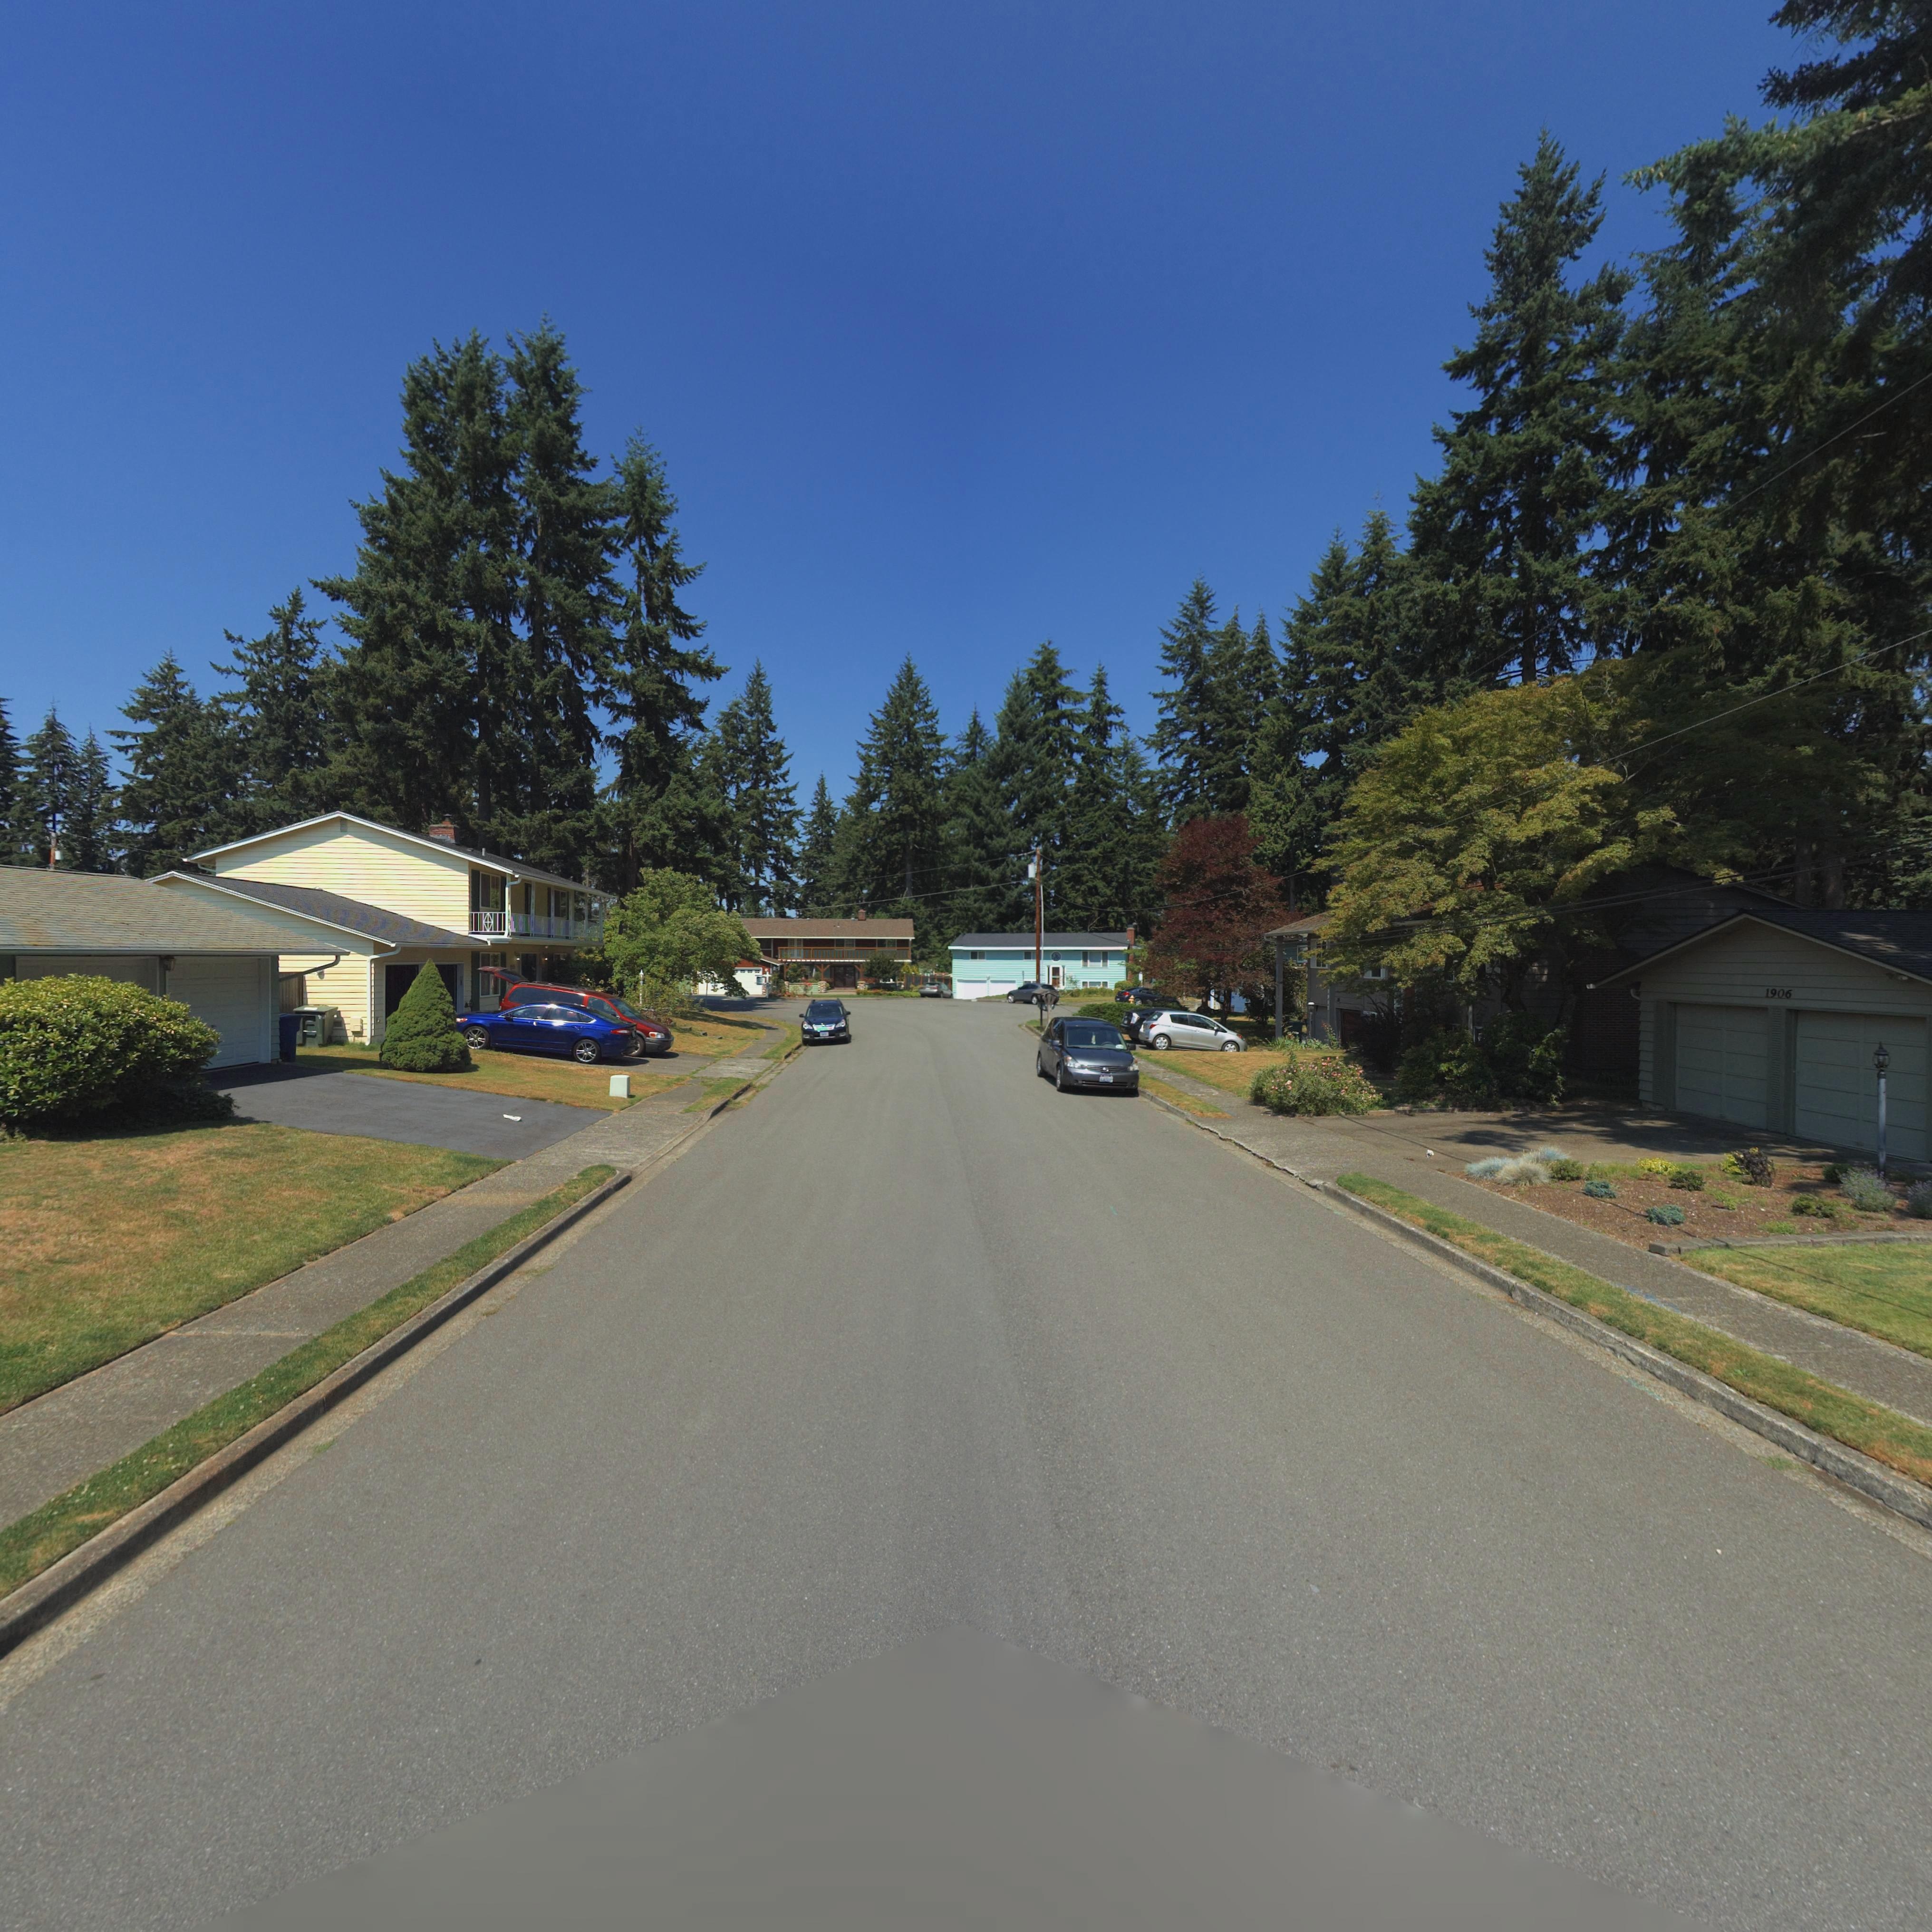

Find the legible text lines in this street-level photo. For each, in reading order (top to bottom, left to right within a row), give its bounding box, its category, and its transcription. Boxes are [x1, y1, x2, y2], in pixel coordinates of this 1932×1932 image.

[1764, 987, 1794, 999] StreetNumber: 1906